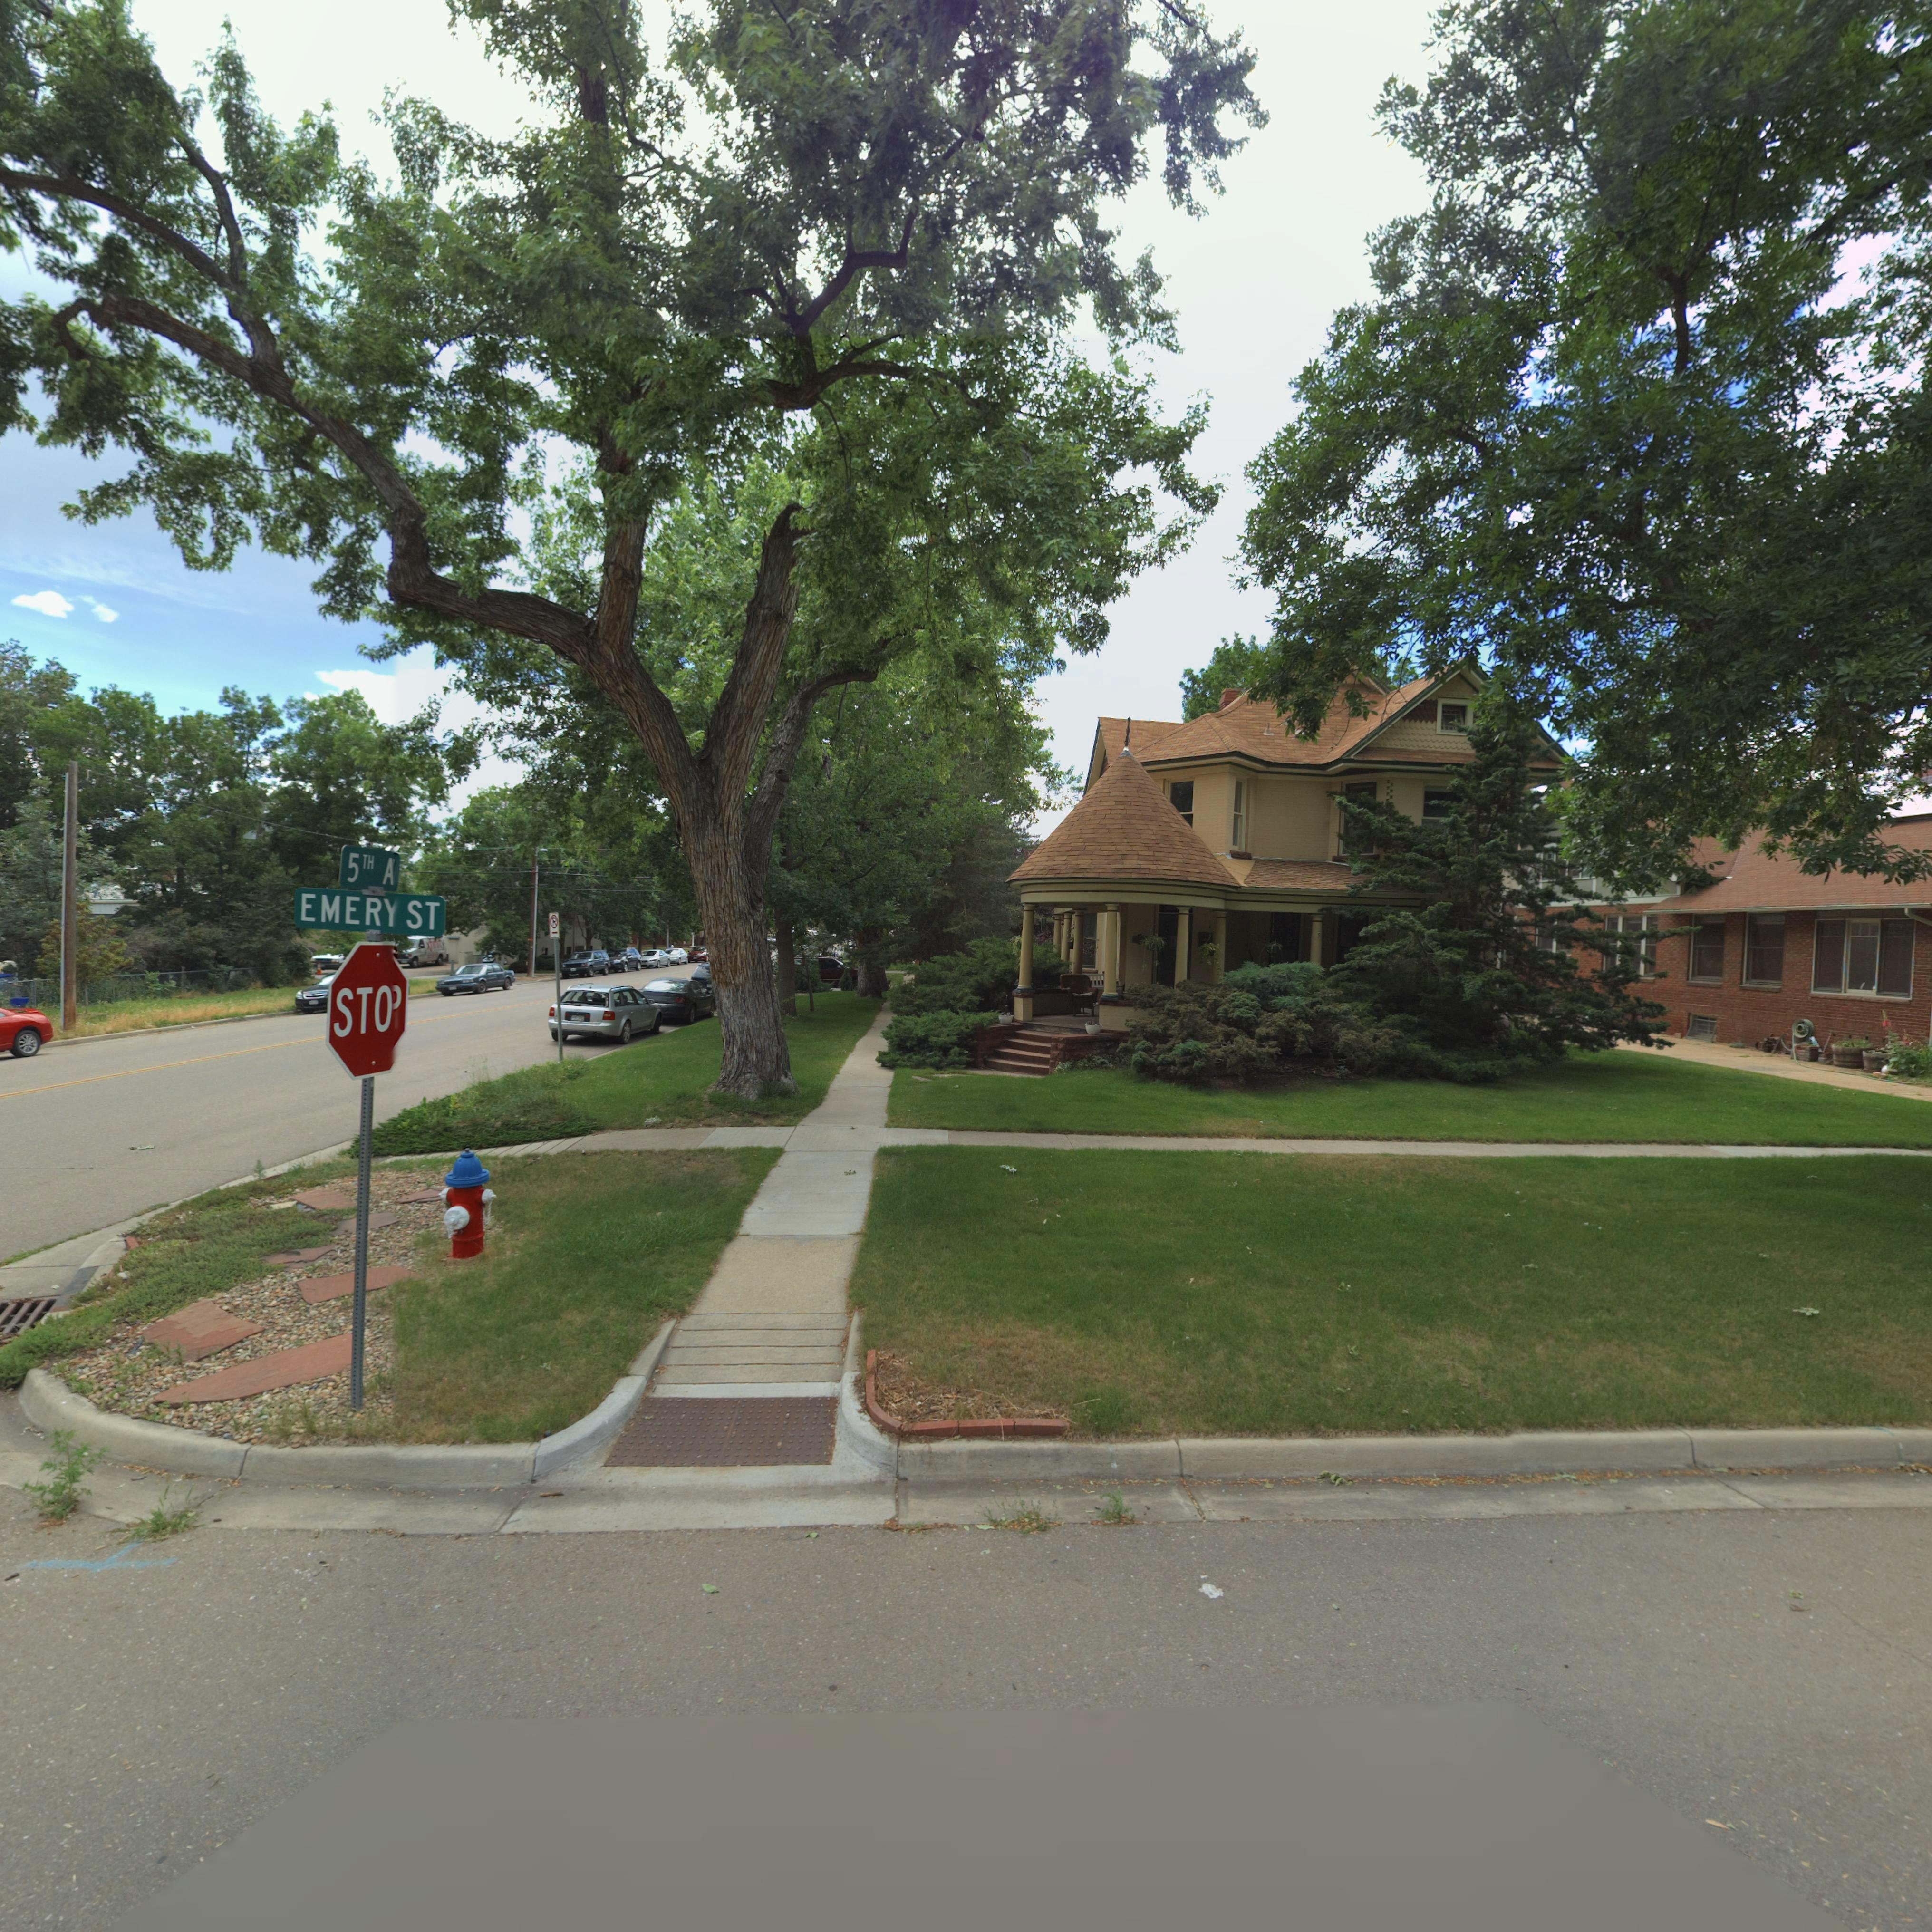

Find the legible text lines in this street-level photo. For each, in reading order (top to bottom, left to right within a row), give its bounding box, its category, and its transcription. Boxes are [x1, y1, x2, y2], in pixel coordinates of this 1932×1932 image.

[346, 850, 395, 886] StreetName: 5TH A
[299, 892, 440, 932] StreetName: EMERY ST